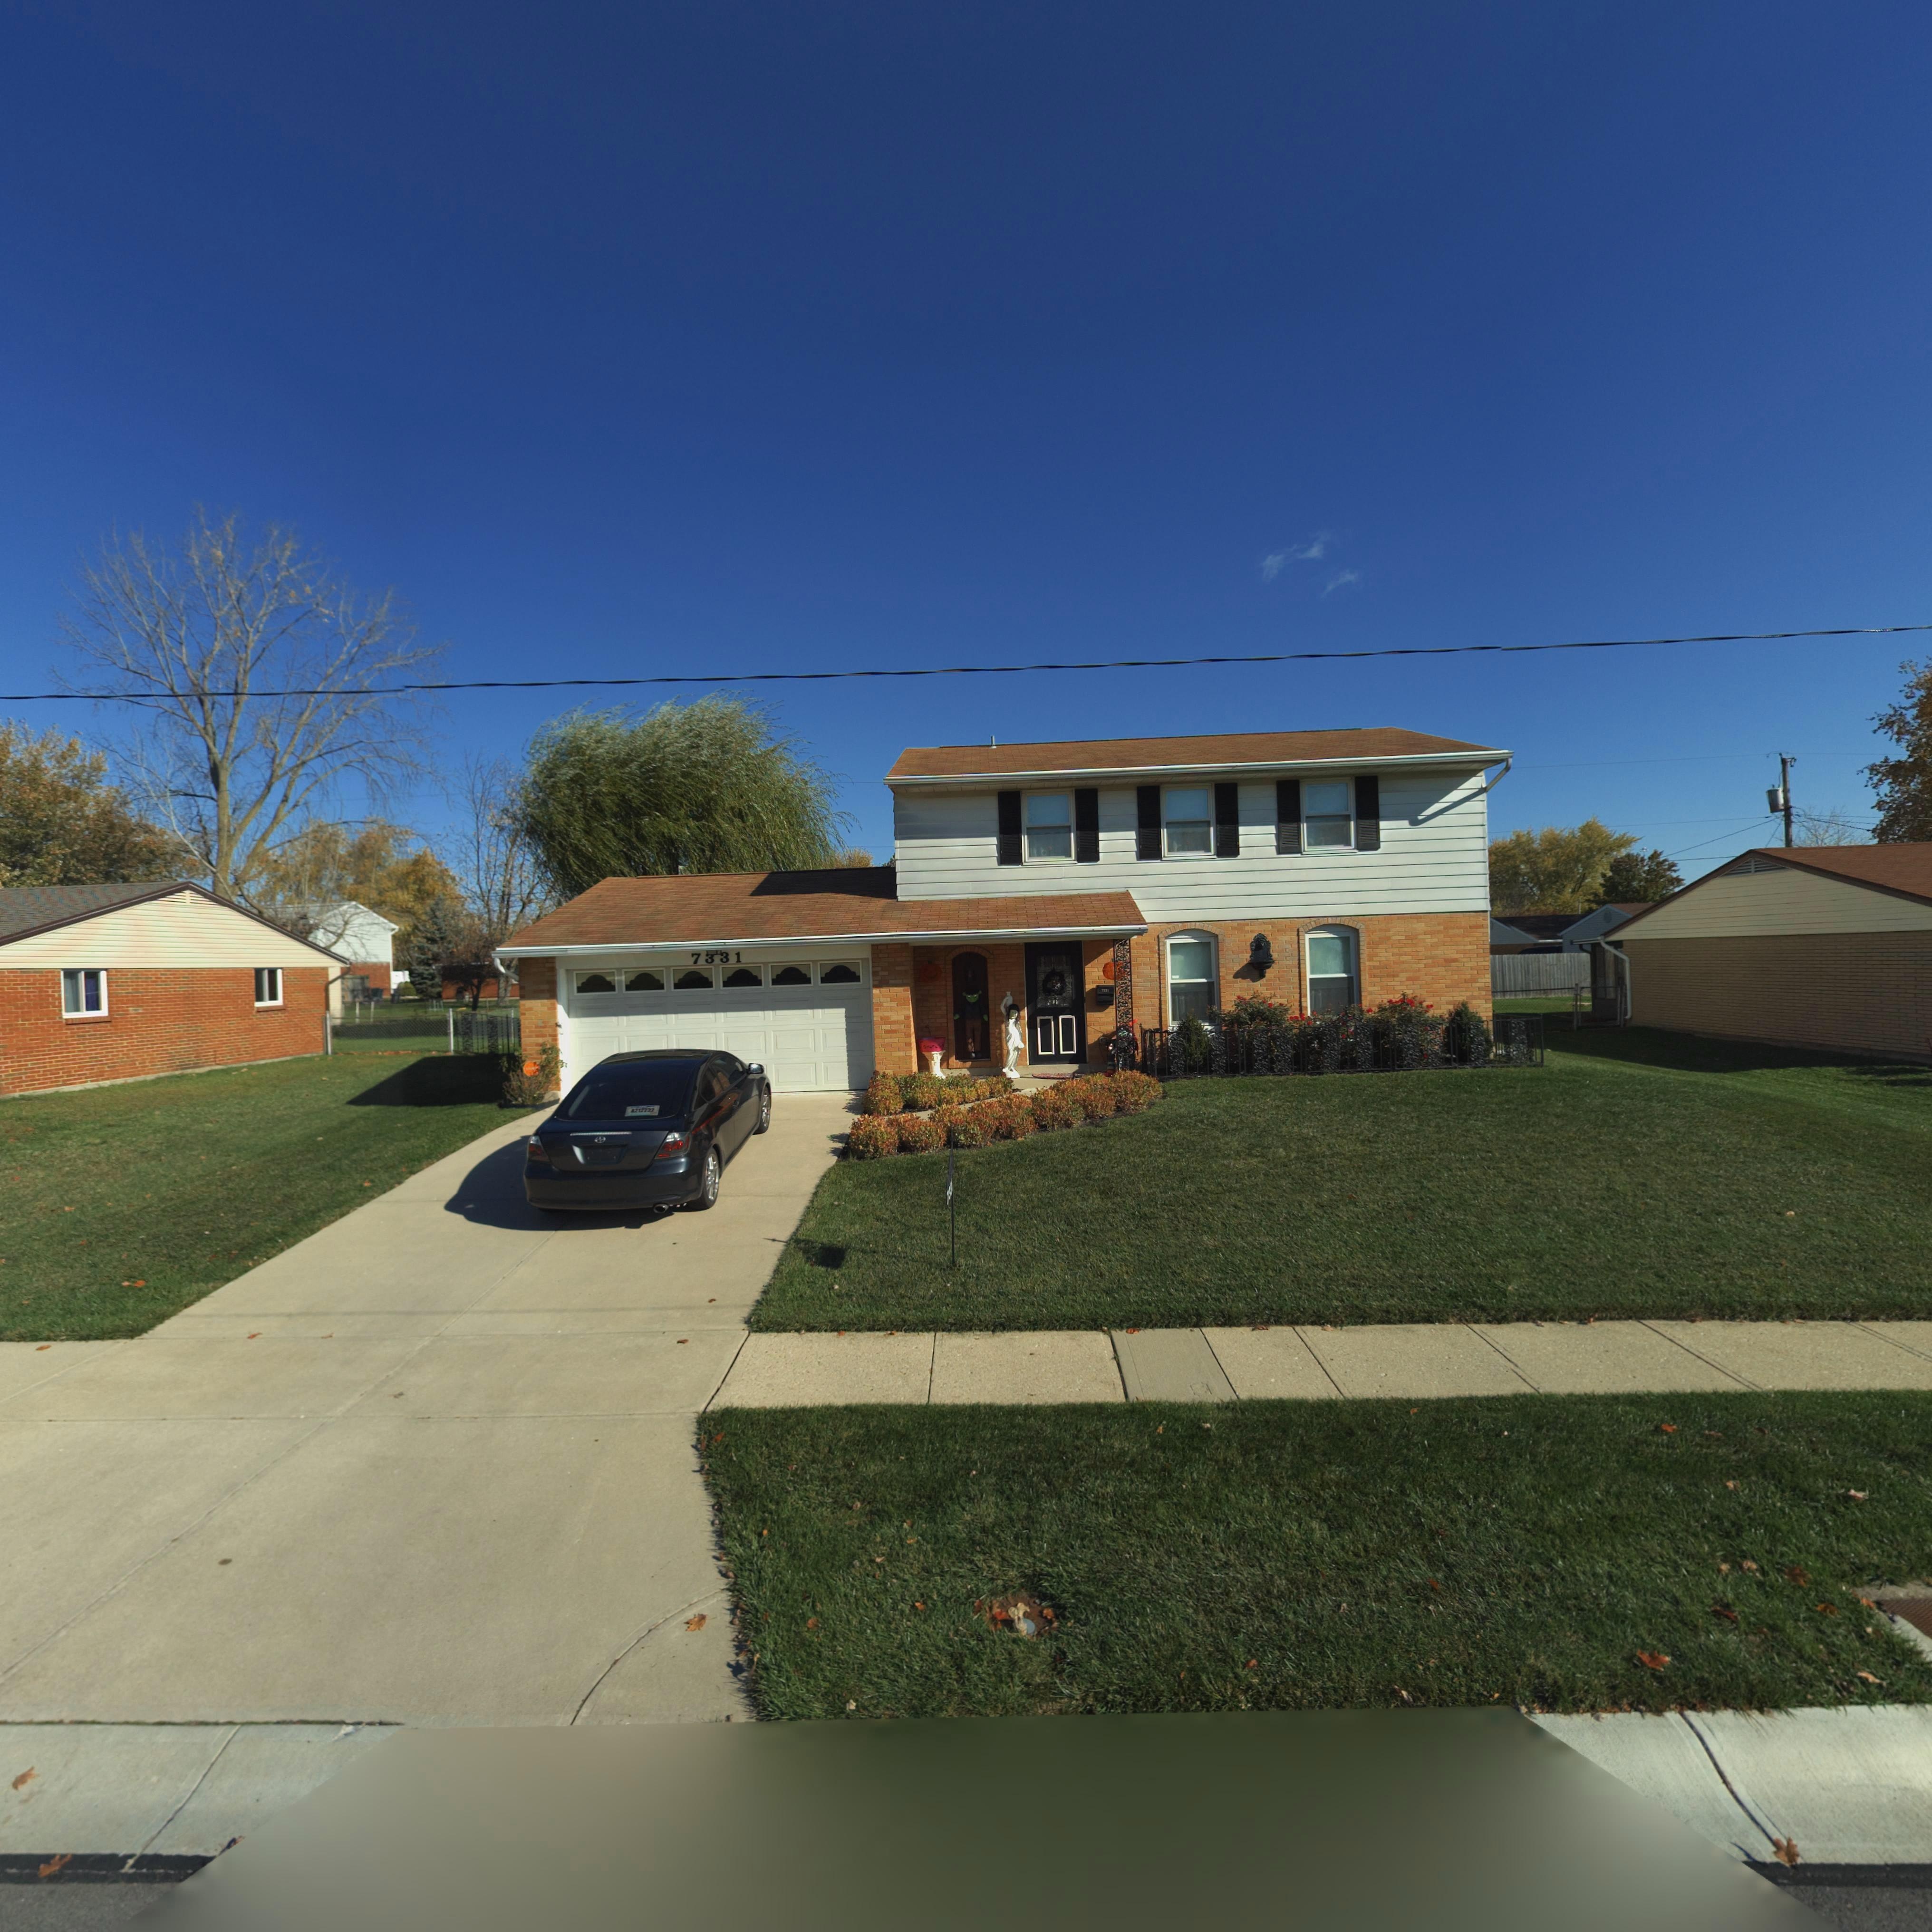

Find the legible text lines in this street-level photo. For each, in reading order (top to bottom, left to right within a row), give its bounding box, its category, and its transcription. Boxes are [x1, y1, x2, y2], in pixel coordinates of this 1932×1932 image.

[690, 950, 743, 966] StreetNumber: 7*31